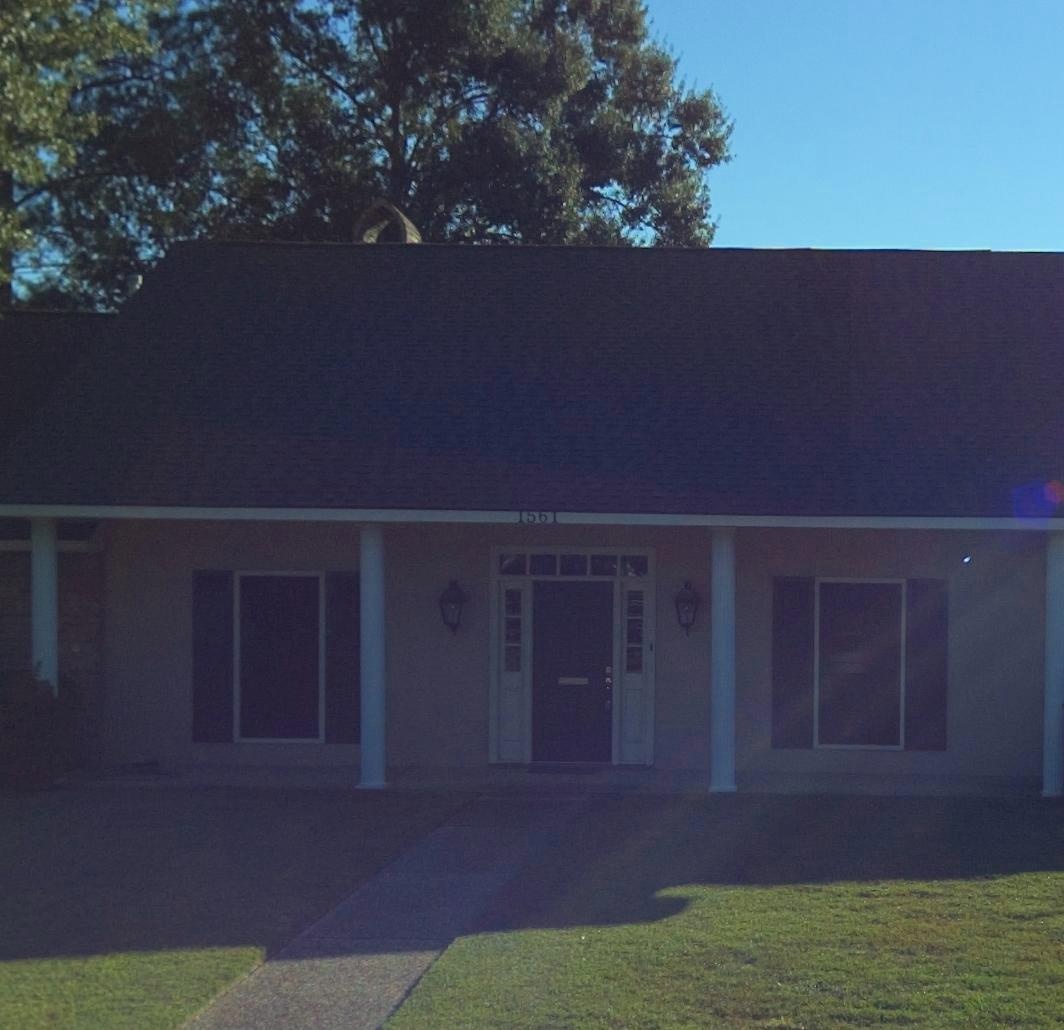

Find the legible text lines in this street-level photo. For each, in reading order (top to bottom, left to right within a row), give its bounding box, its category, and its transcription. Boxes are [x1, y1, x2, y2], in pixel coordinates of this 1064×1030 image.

[516, 508, 561, 525] StreetNumber: 1561